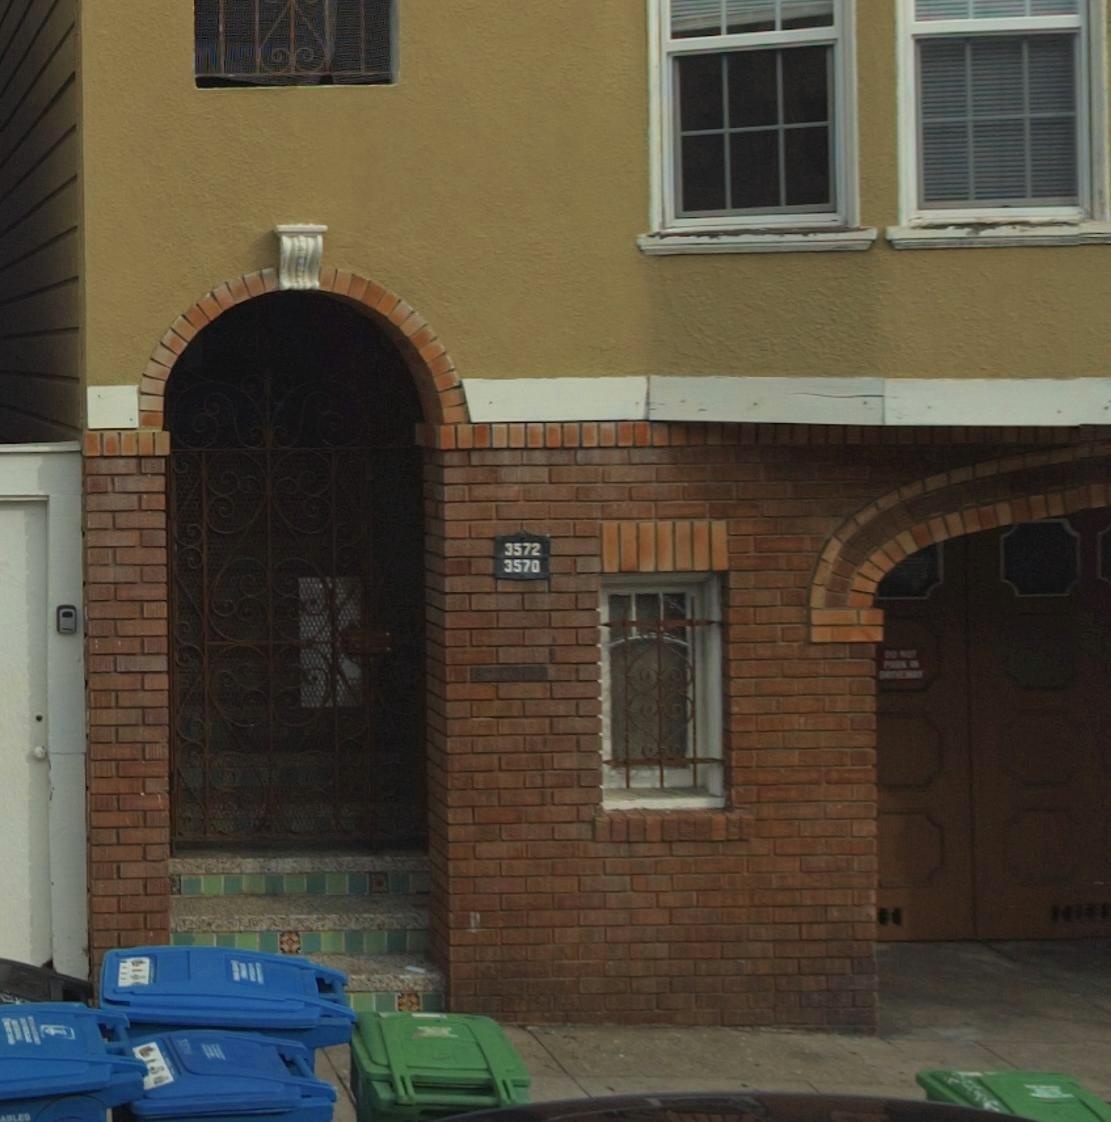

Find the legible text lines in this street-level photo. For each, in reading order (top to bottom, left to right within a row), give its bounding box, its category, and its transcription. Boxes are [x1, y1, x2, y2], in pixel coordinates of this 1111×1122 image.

[503, 541, 542, 556] StreetNumber: 3572
[502, 558, 542, 574] StreetNumber: 3570
[883, 649, 918, 659] None: DO NOT